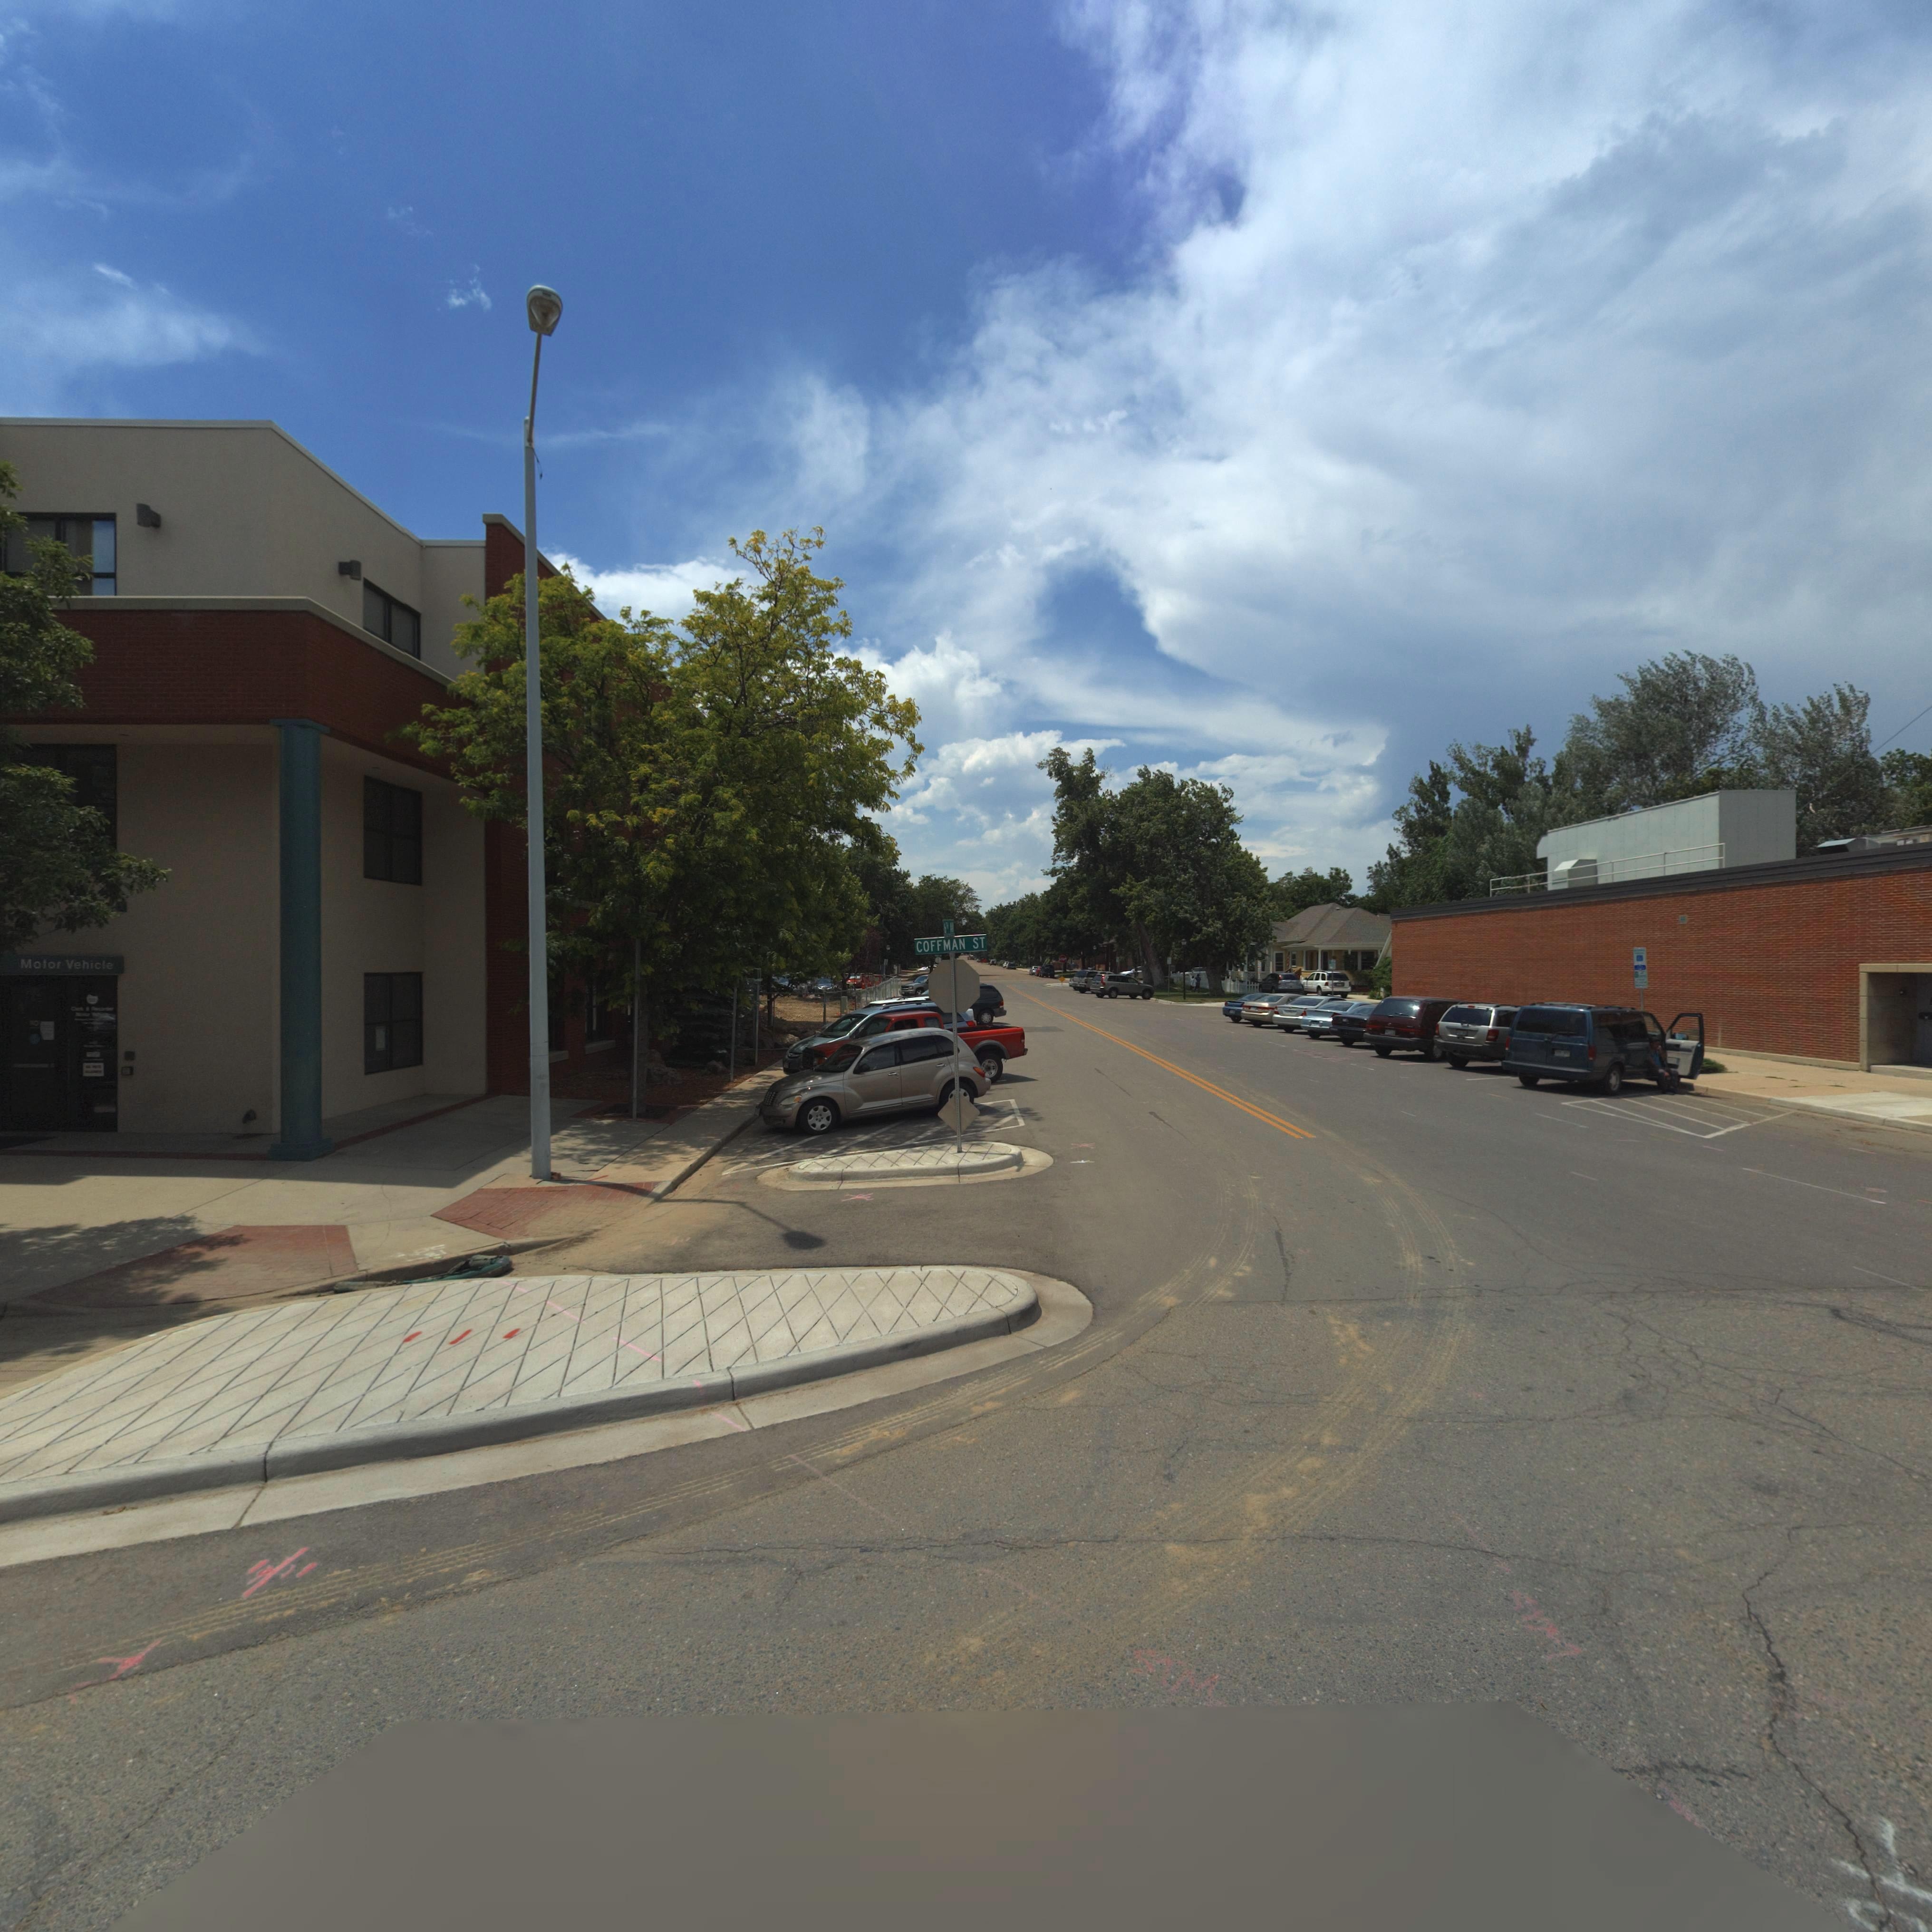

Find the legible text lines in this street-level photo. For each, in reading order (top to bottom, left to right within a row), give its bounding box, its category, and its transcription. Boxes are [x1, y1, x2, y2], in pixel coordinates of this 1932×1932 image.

[943, 922, 954, 933] StreetName: 6** AV
[916, 937, 985, 952] StreetName: COFFMAN ST